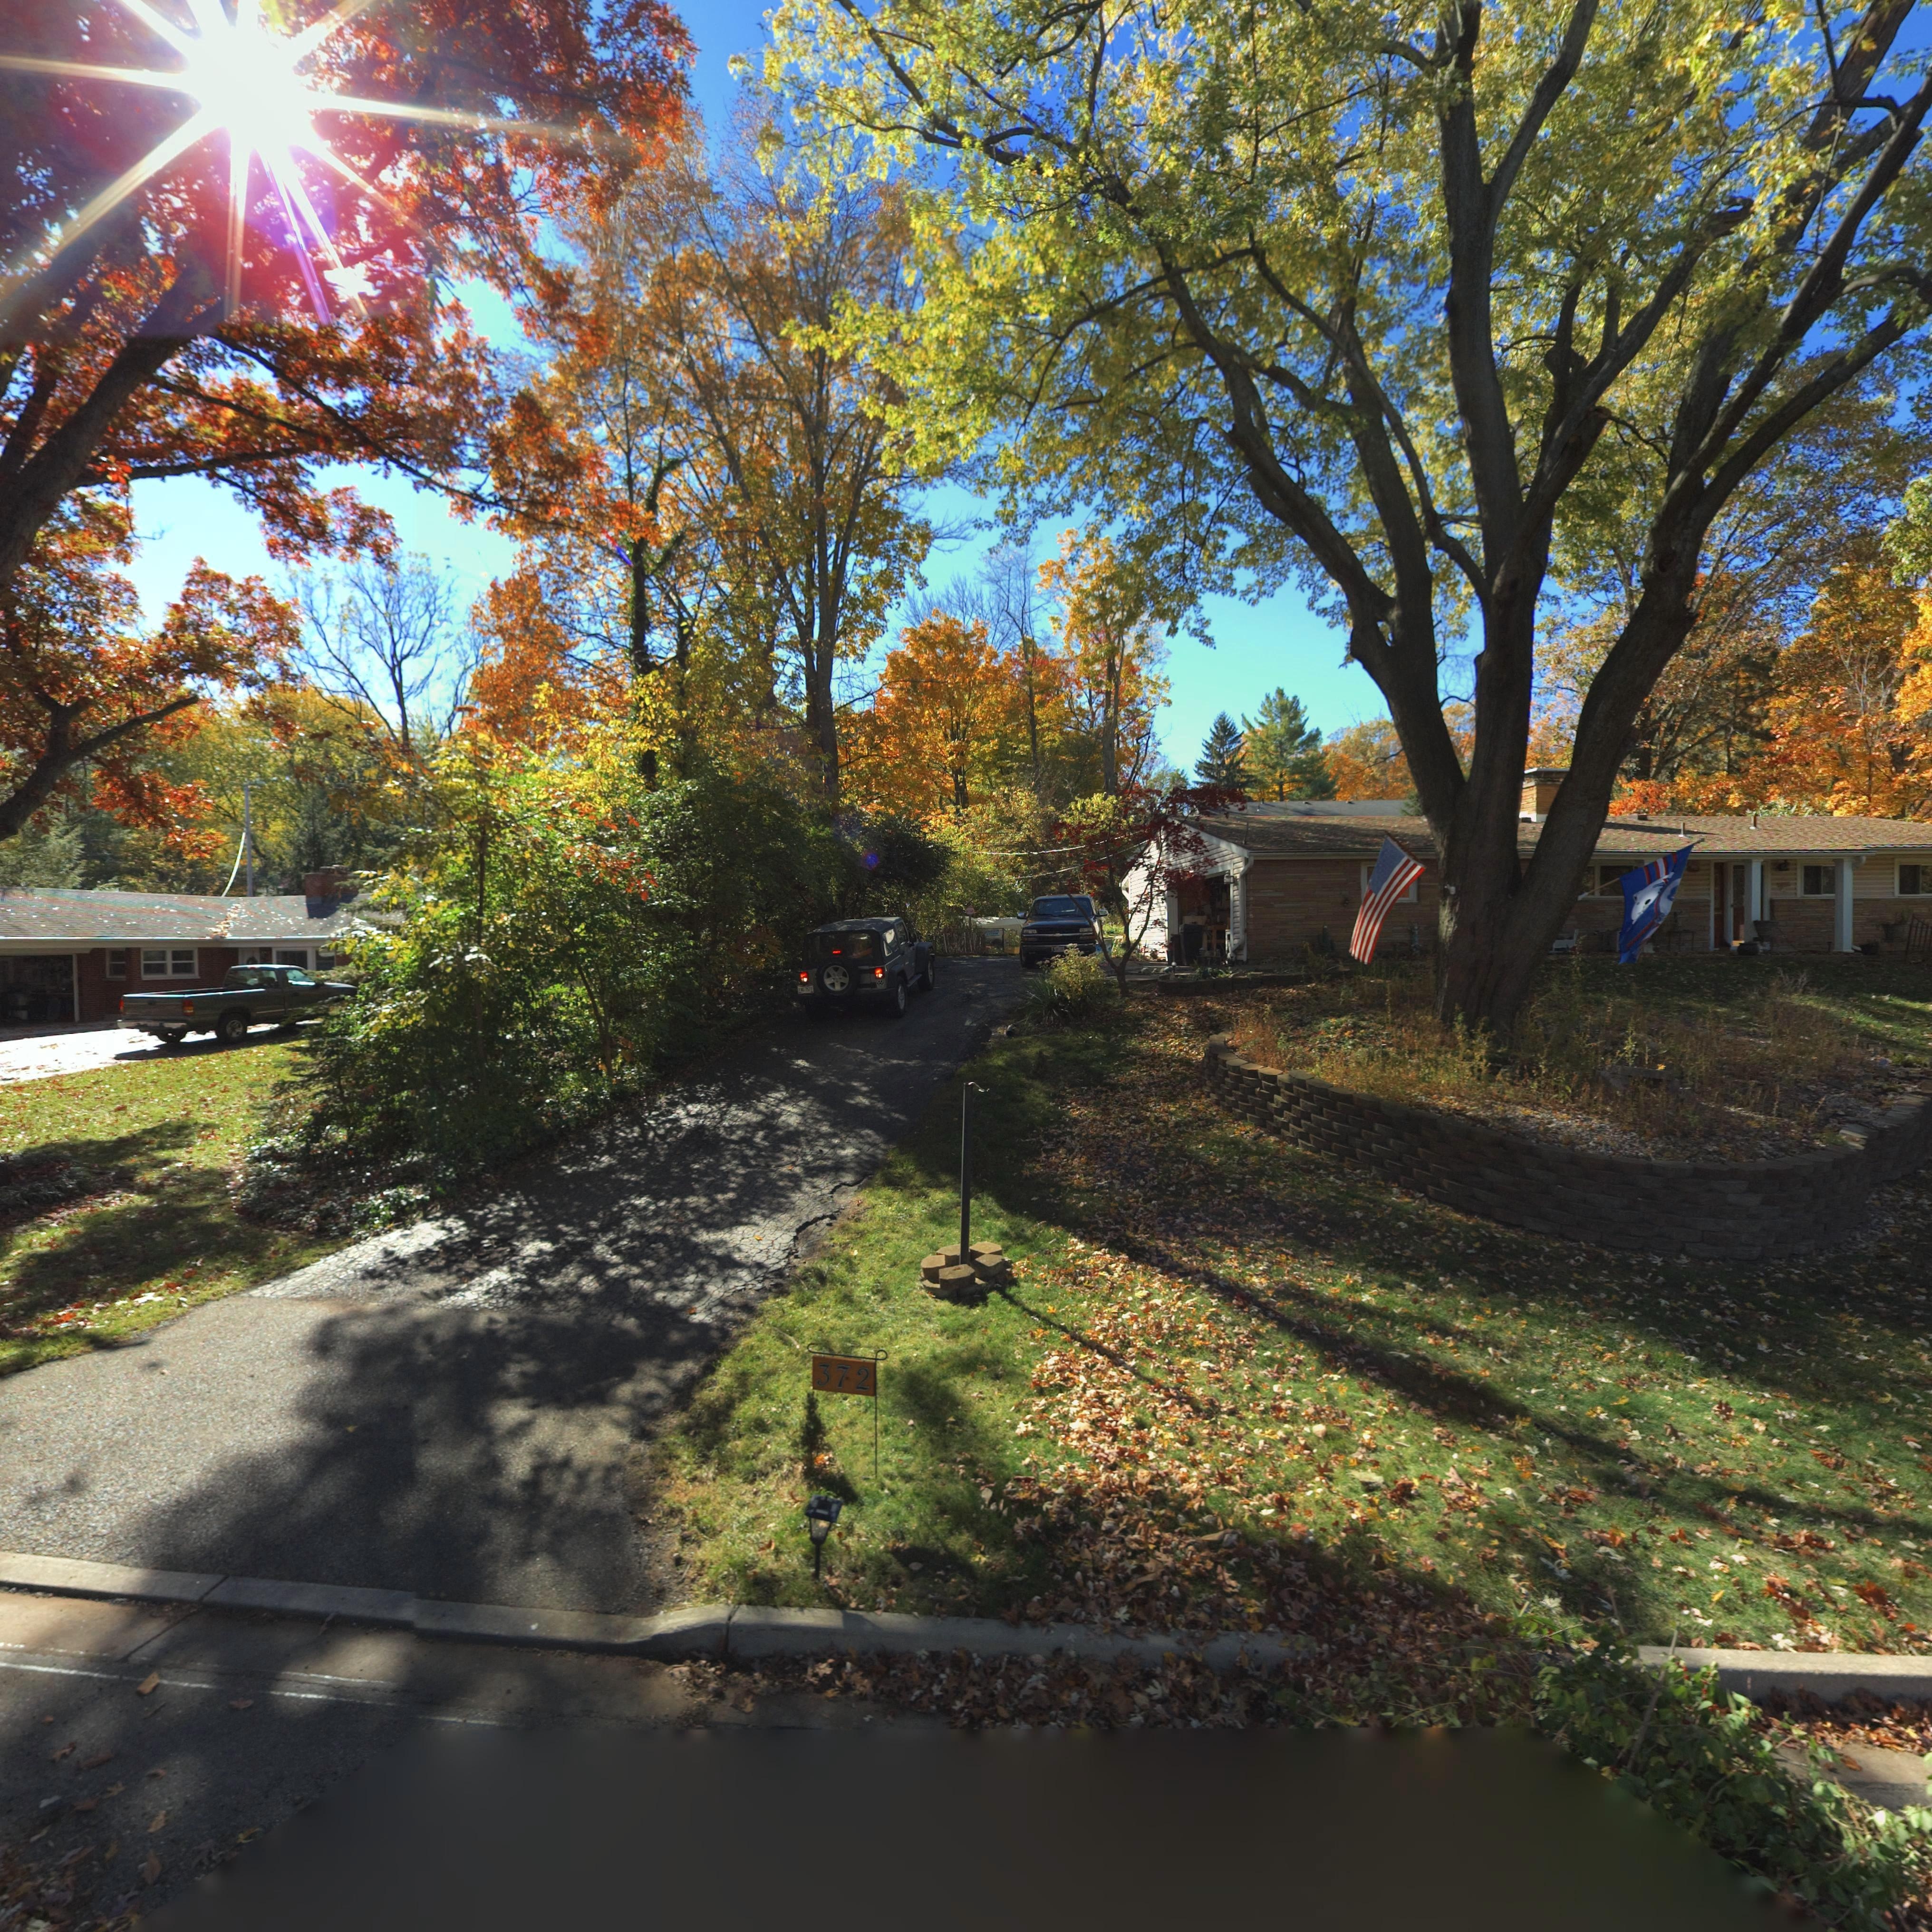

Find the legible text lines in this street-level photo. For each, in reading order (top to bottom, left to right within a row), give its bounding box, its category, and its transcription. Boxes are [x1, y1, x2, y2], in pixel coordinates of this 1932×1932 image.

[815, 1362, 871, 1392] StreetNumber: 372